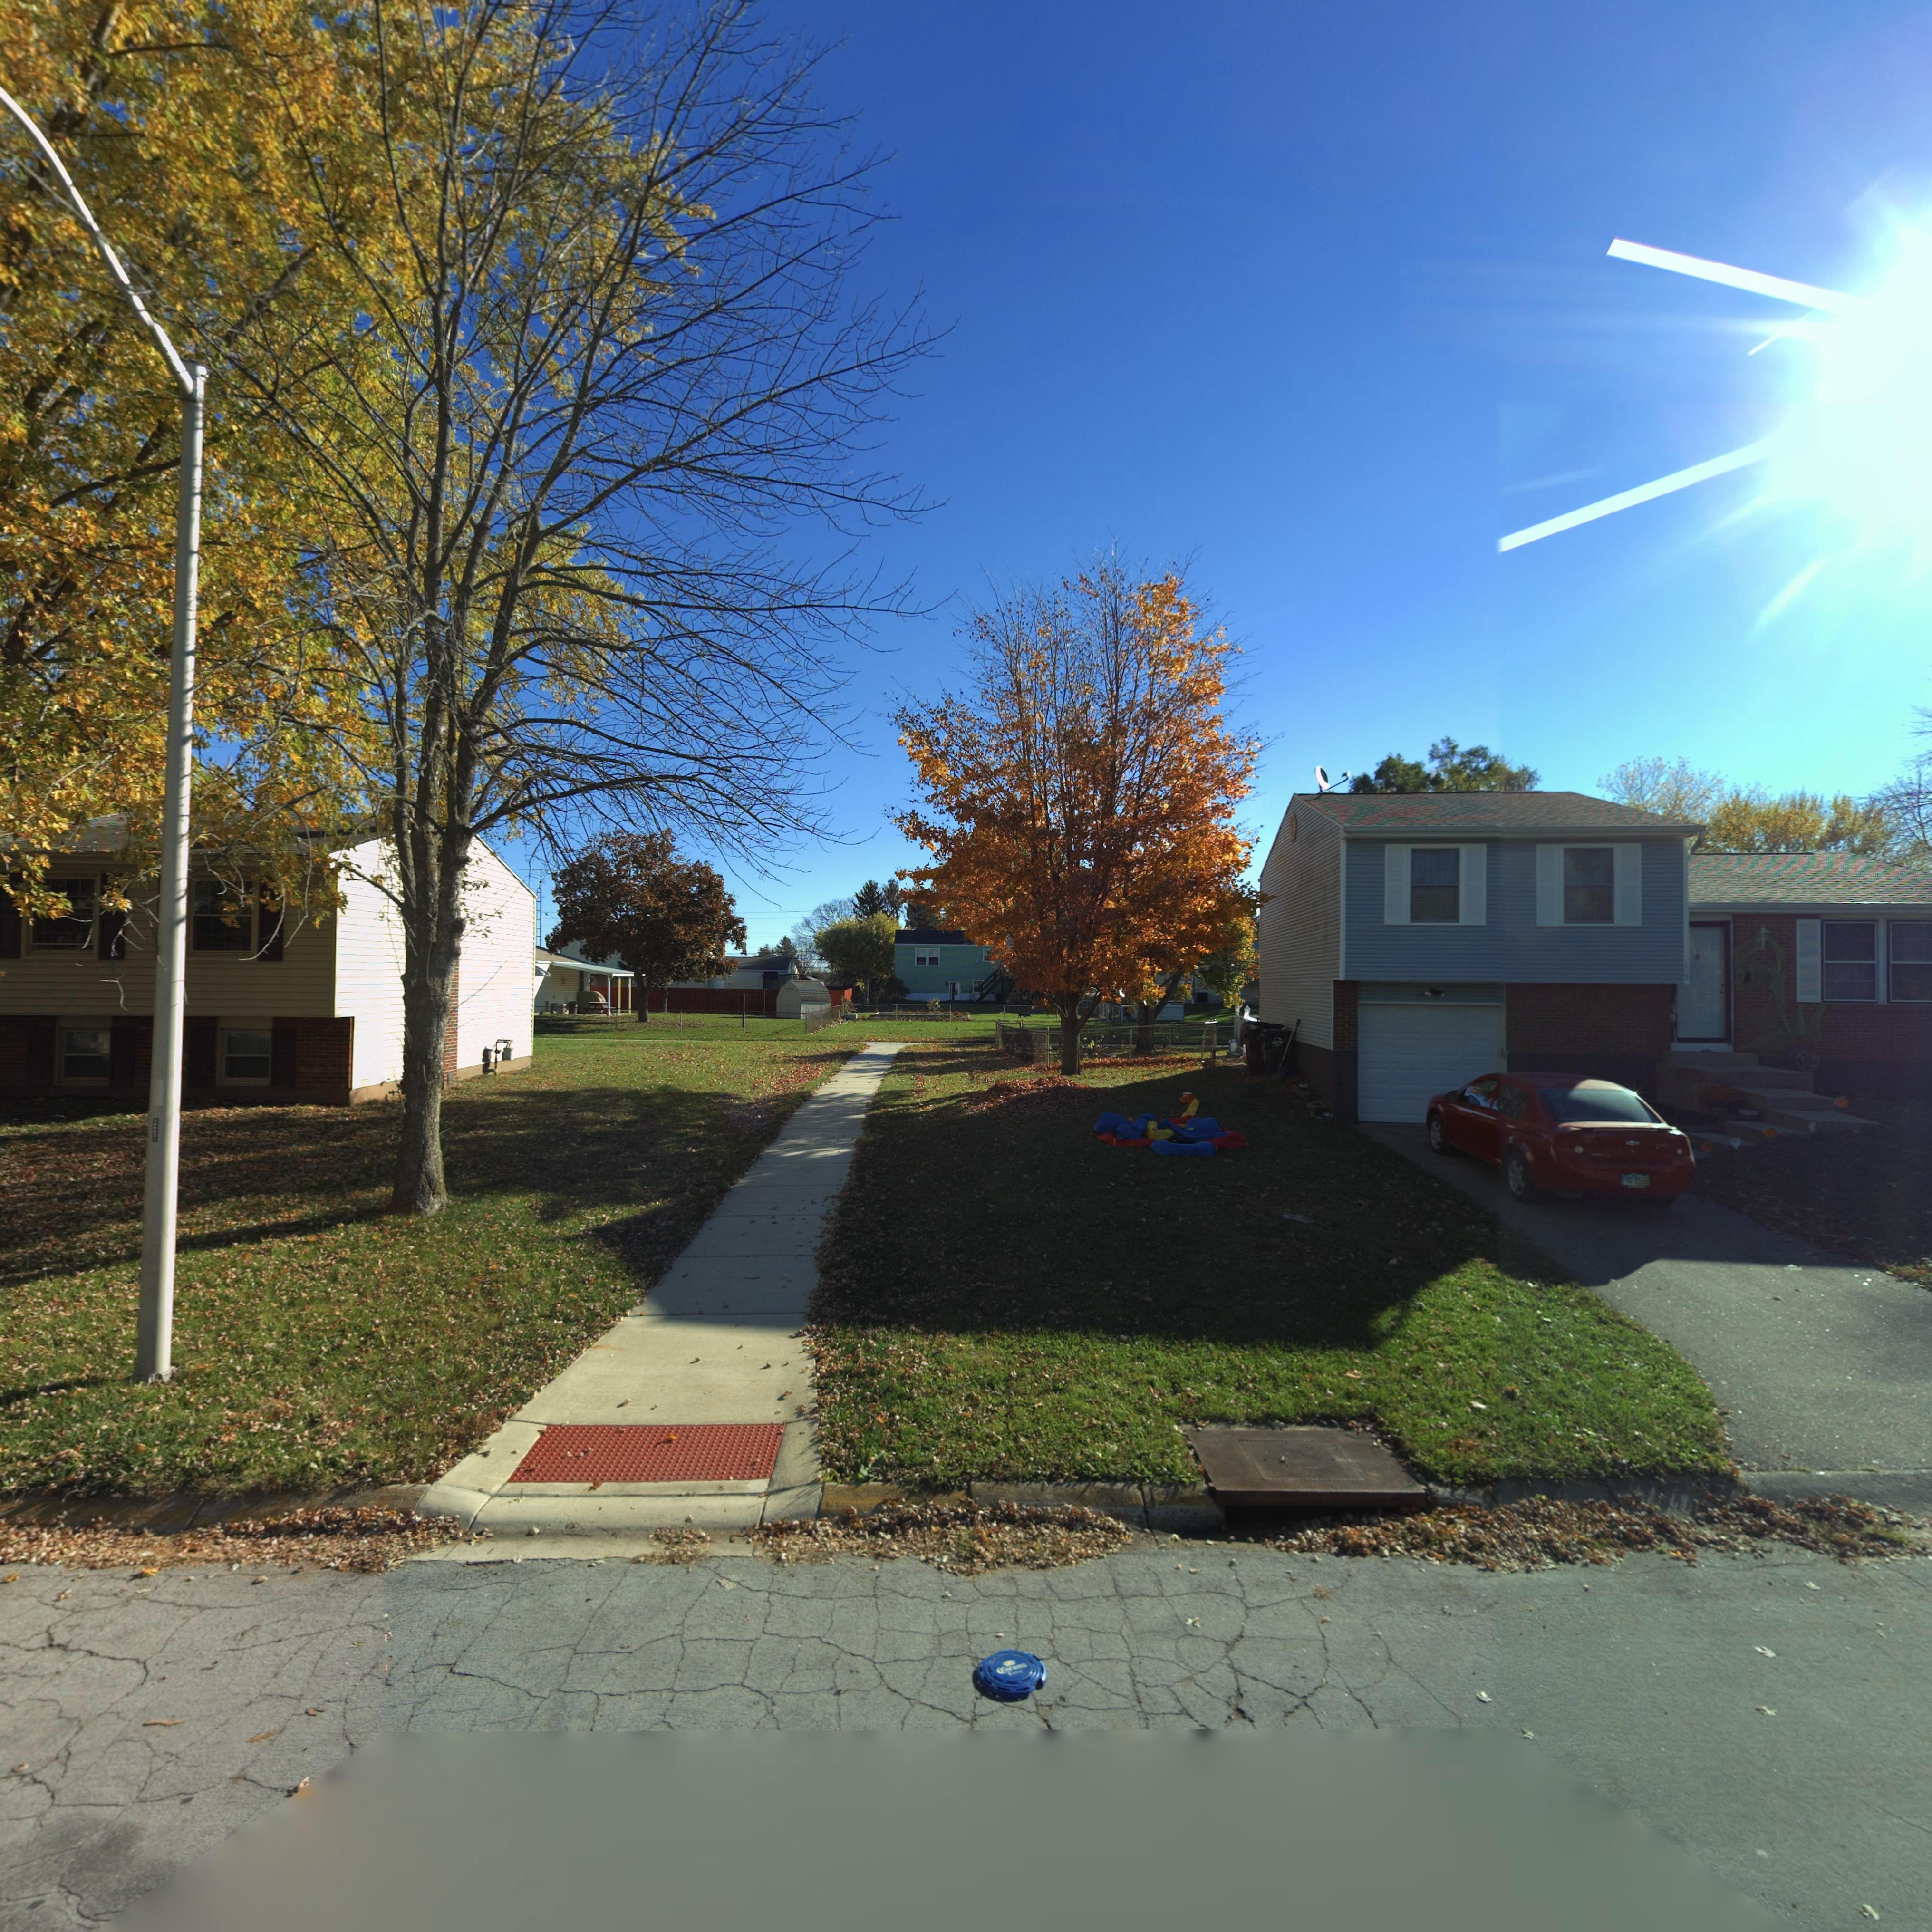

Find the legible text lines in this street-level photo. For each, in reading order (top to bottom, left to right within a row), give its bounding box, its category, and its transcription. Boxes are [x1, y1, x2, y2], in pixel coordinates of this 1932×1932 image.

[1683, 957, 1689, 981] StreetNumber: 103